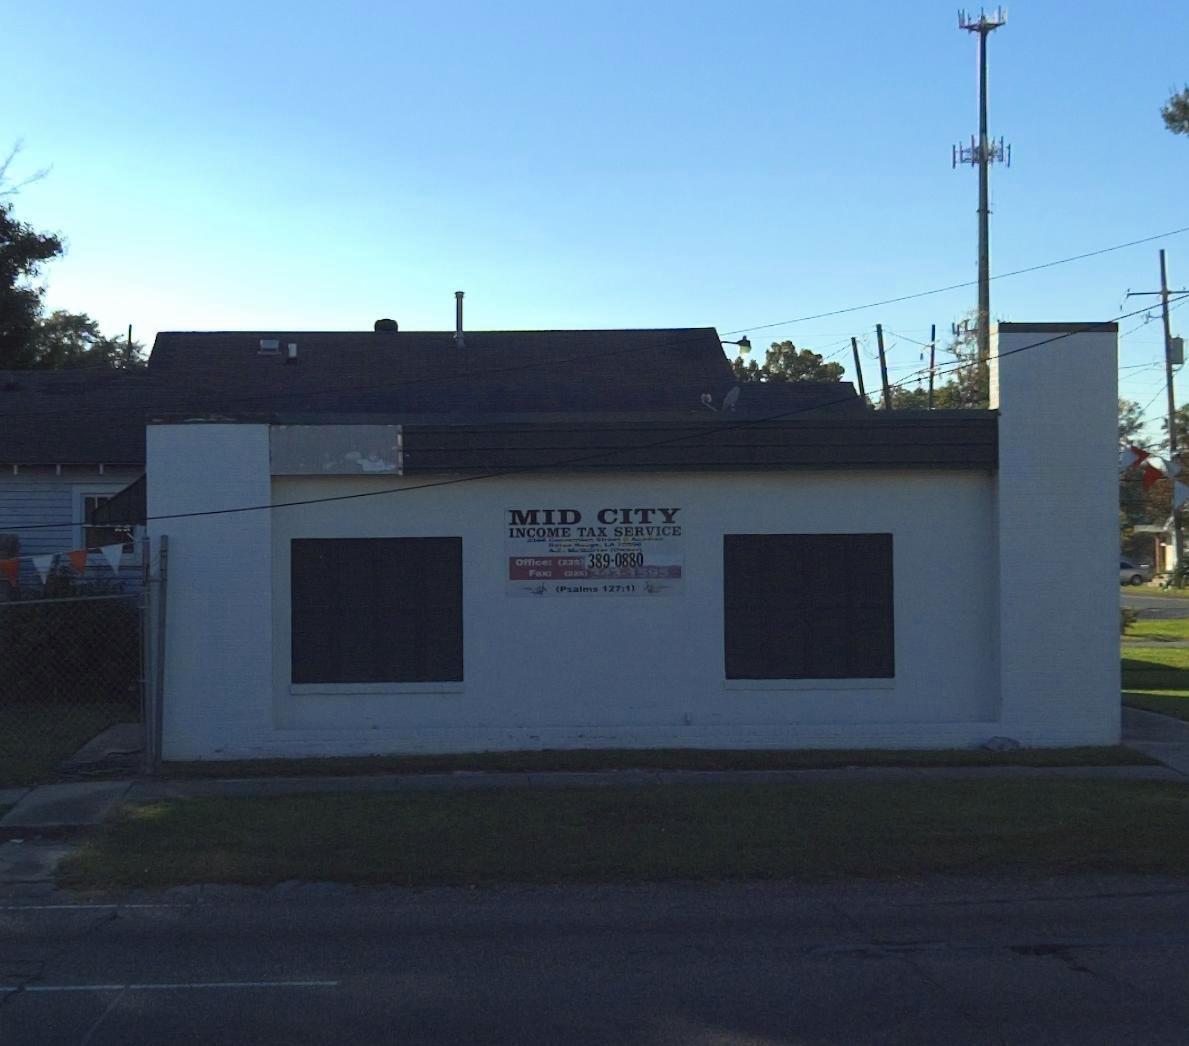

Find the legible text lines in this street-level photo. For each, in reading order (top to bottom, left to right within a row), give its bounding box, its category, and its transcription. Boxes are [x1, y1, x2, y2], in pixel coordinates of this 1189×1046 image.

[507, 508, 682, 527] BusinessName: MID CITY
[507, 526, 684, 539] BusinessName: INCOME TAX SERVICE
[514, 552, 645, 568] None: Office: (225)389-0880
[528, 567, 671, 579] None: Fax: (***)***-**95
[556, 584, 636, 593] None: (Psalms 127:*)